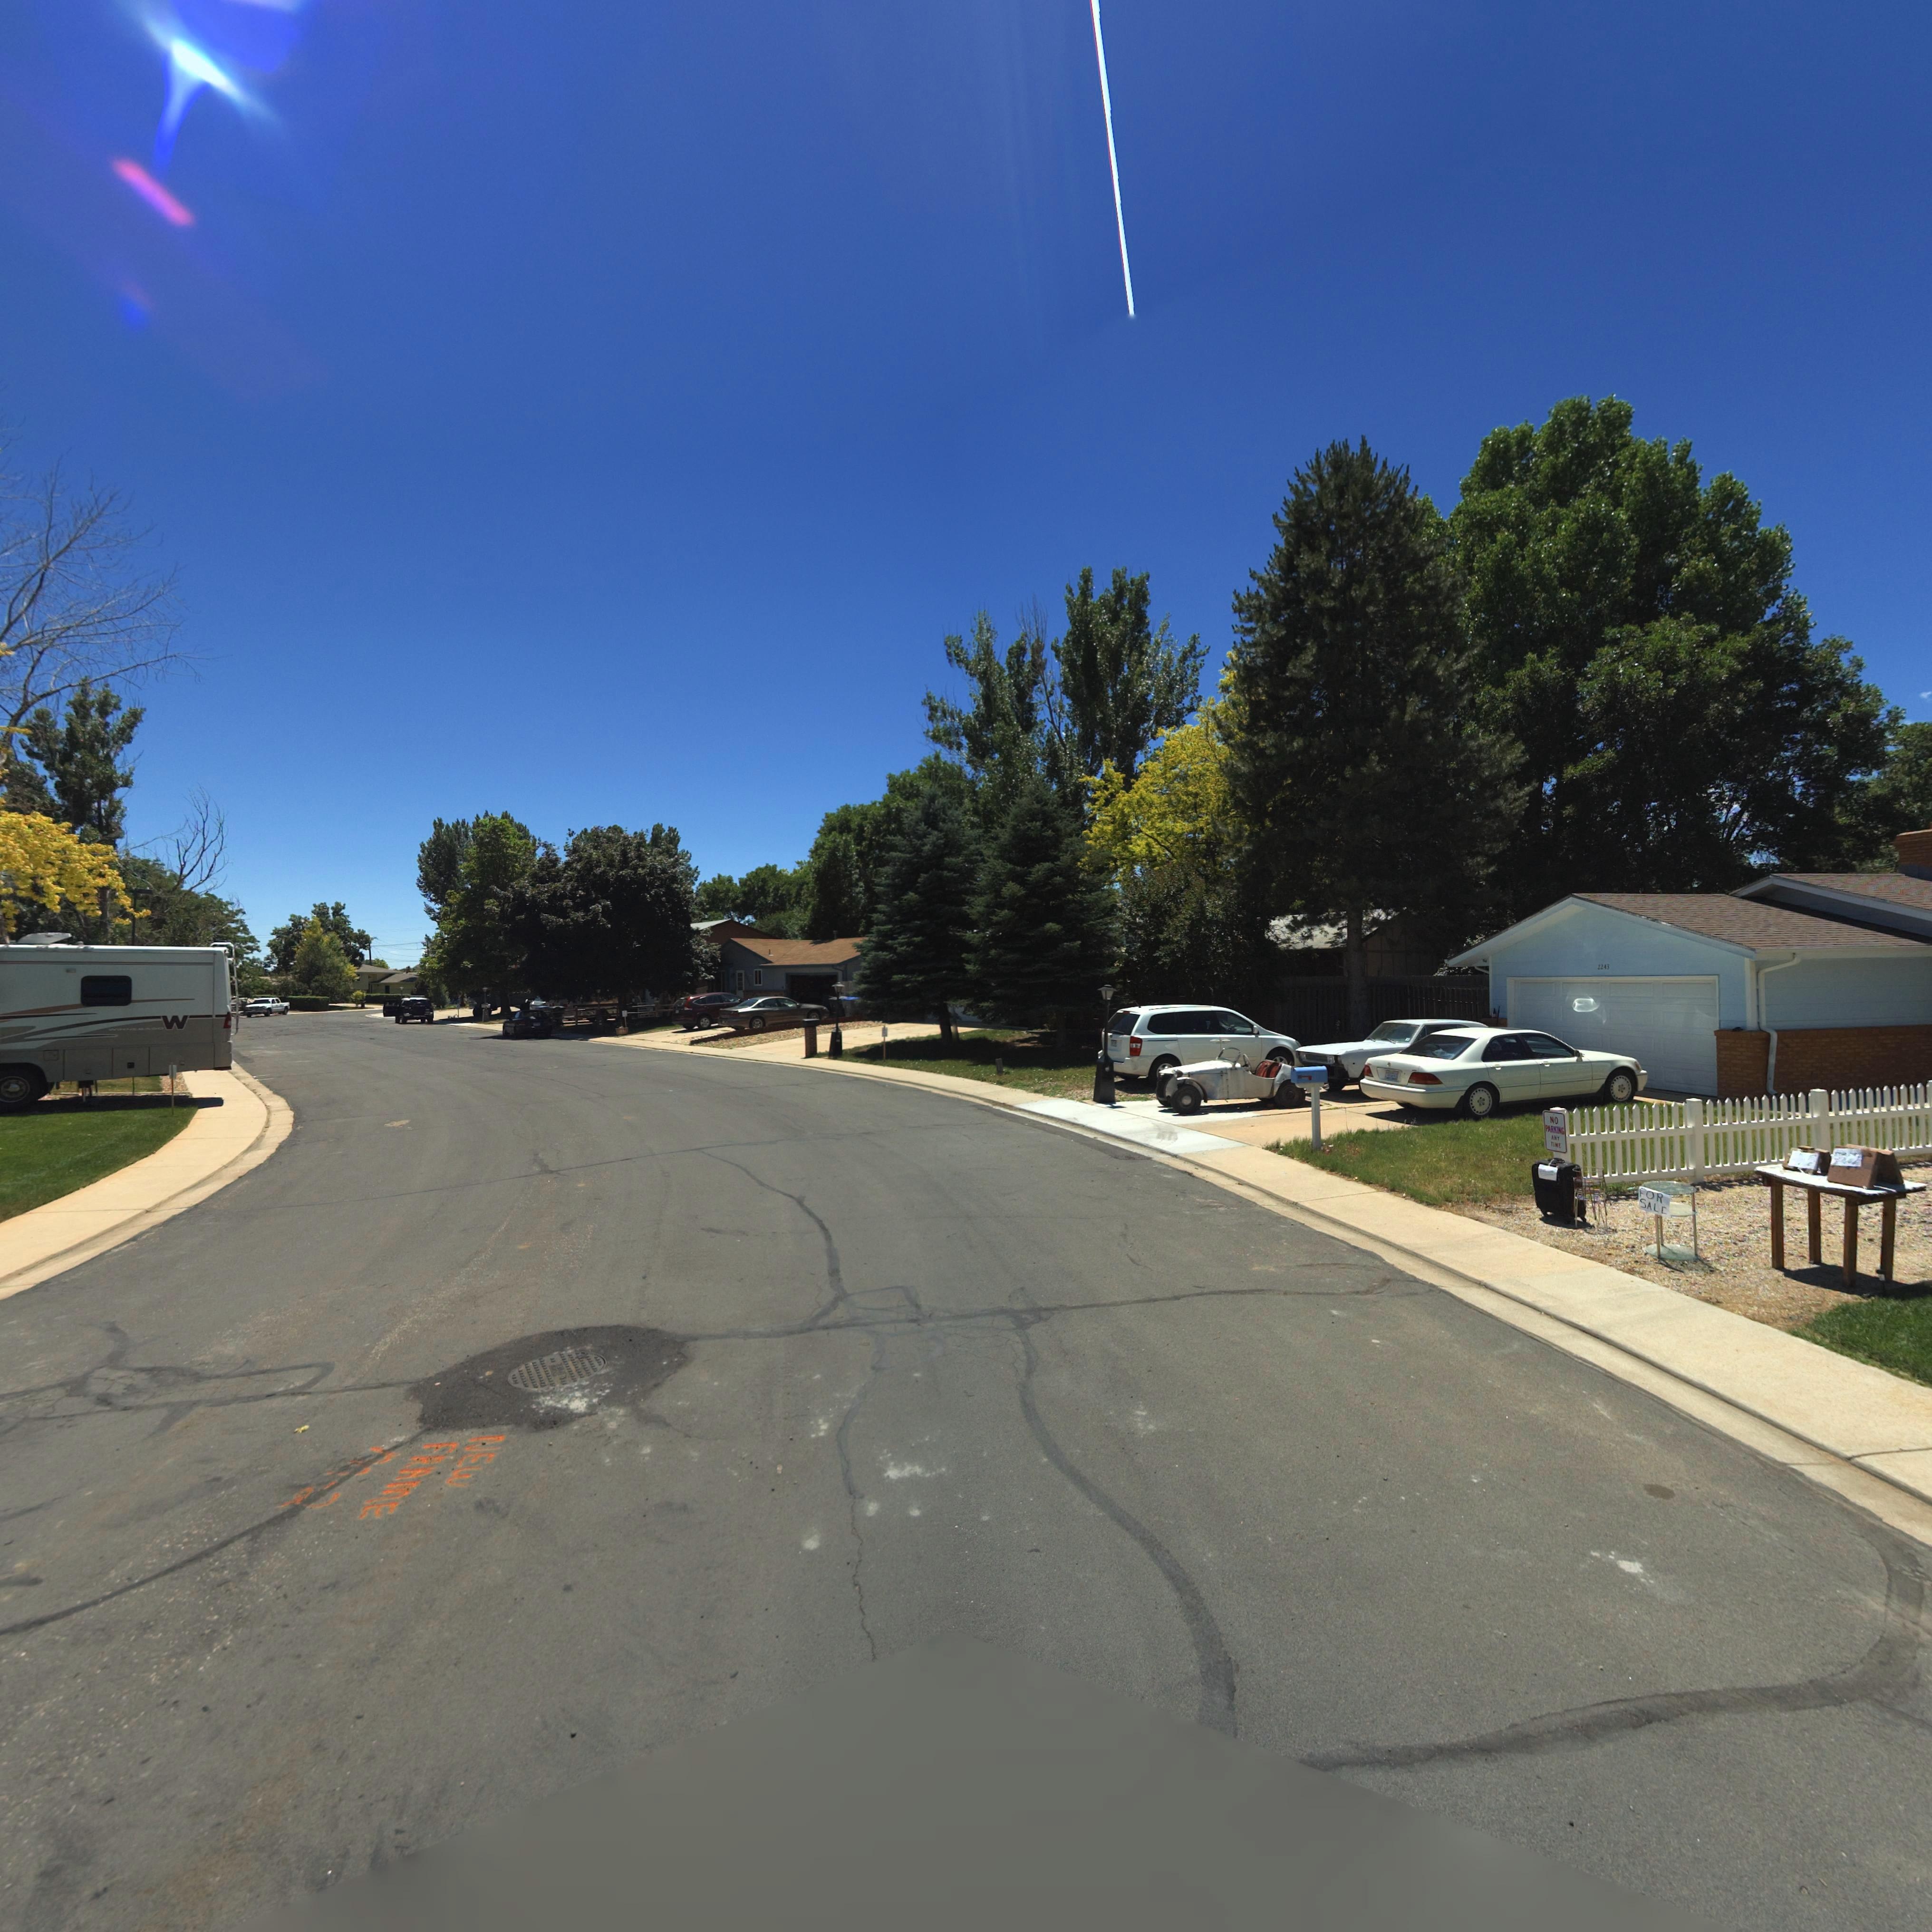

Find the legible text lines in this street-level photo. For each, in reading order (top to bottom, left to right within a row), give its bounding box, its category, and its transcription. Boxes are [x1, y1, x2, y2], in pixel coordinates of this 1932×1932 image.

[1596, 963, 1610, 969] StreetNumber: 2243